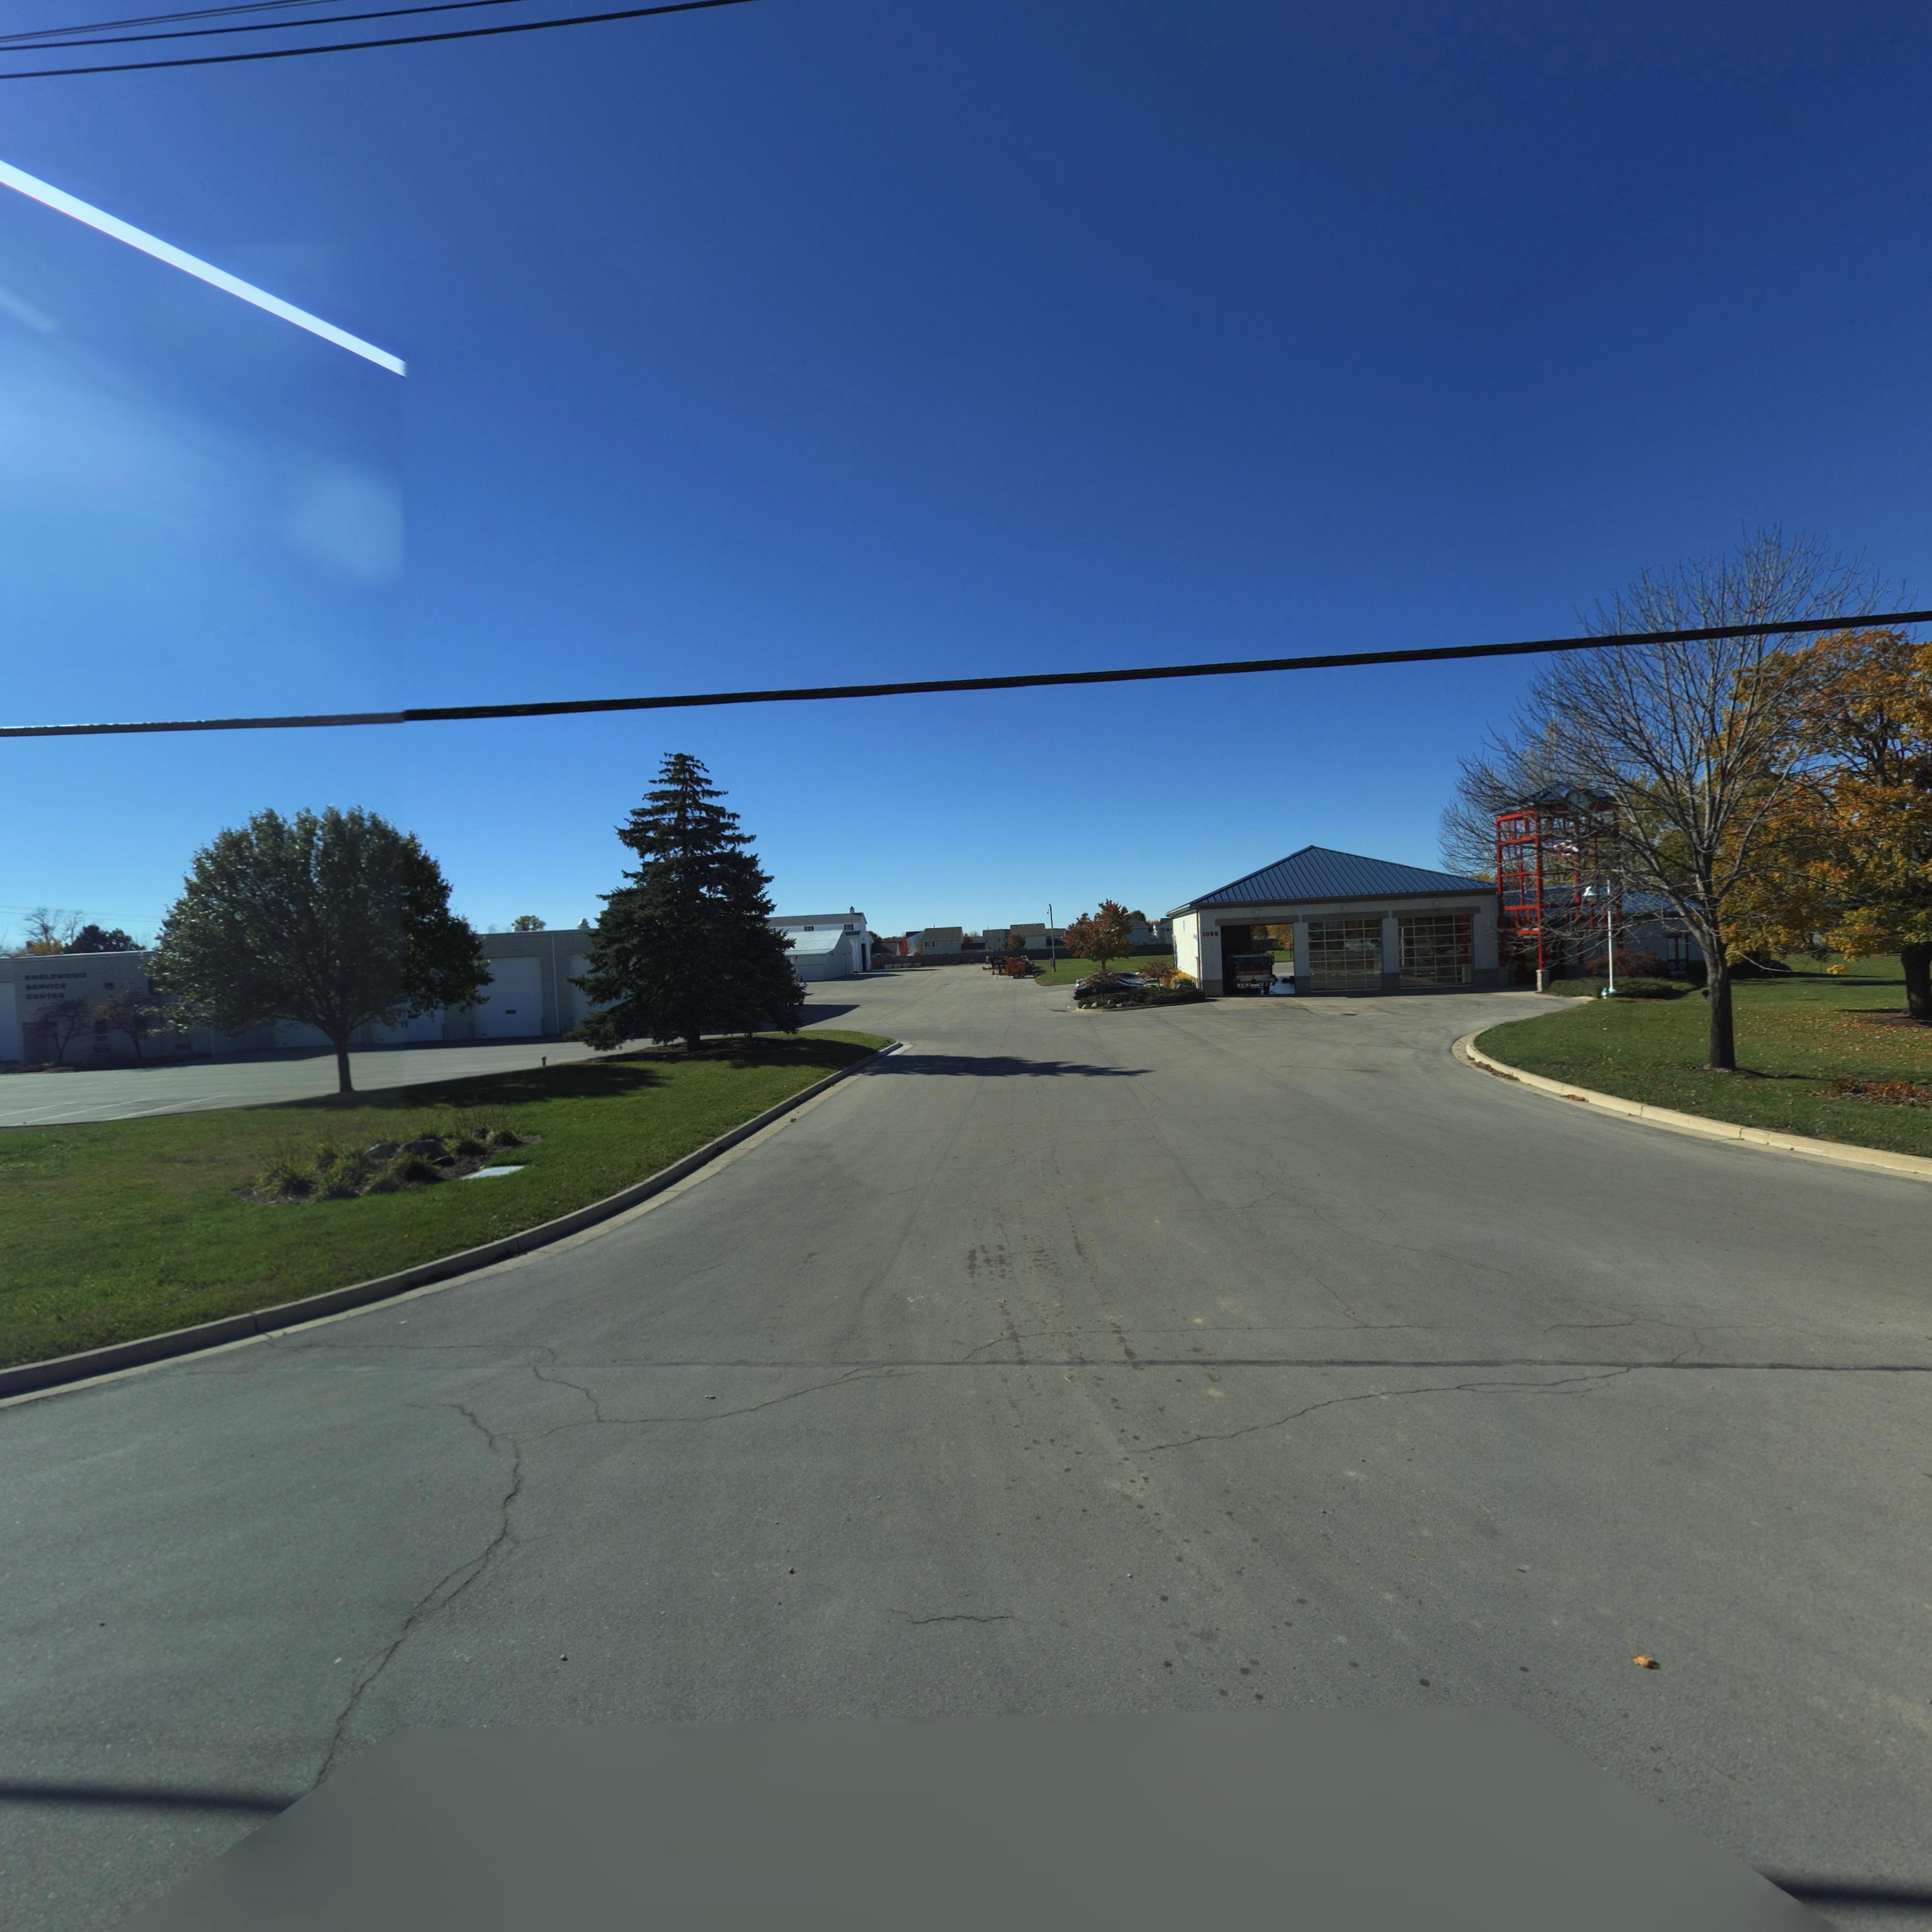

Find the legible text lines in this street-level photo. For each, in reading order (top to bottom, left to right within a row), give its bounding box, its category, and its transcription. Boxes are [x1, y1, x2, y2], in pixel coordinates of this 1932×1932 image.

[1201, 930, 1219, 938] StreetNumber: 1099